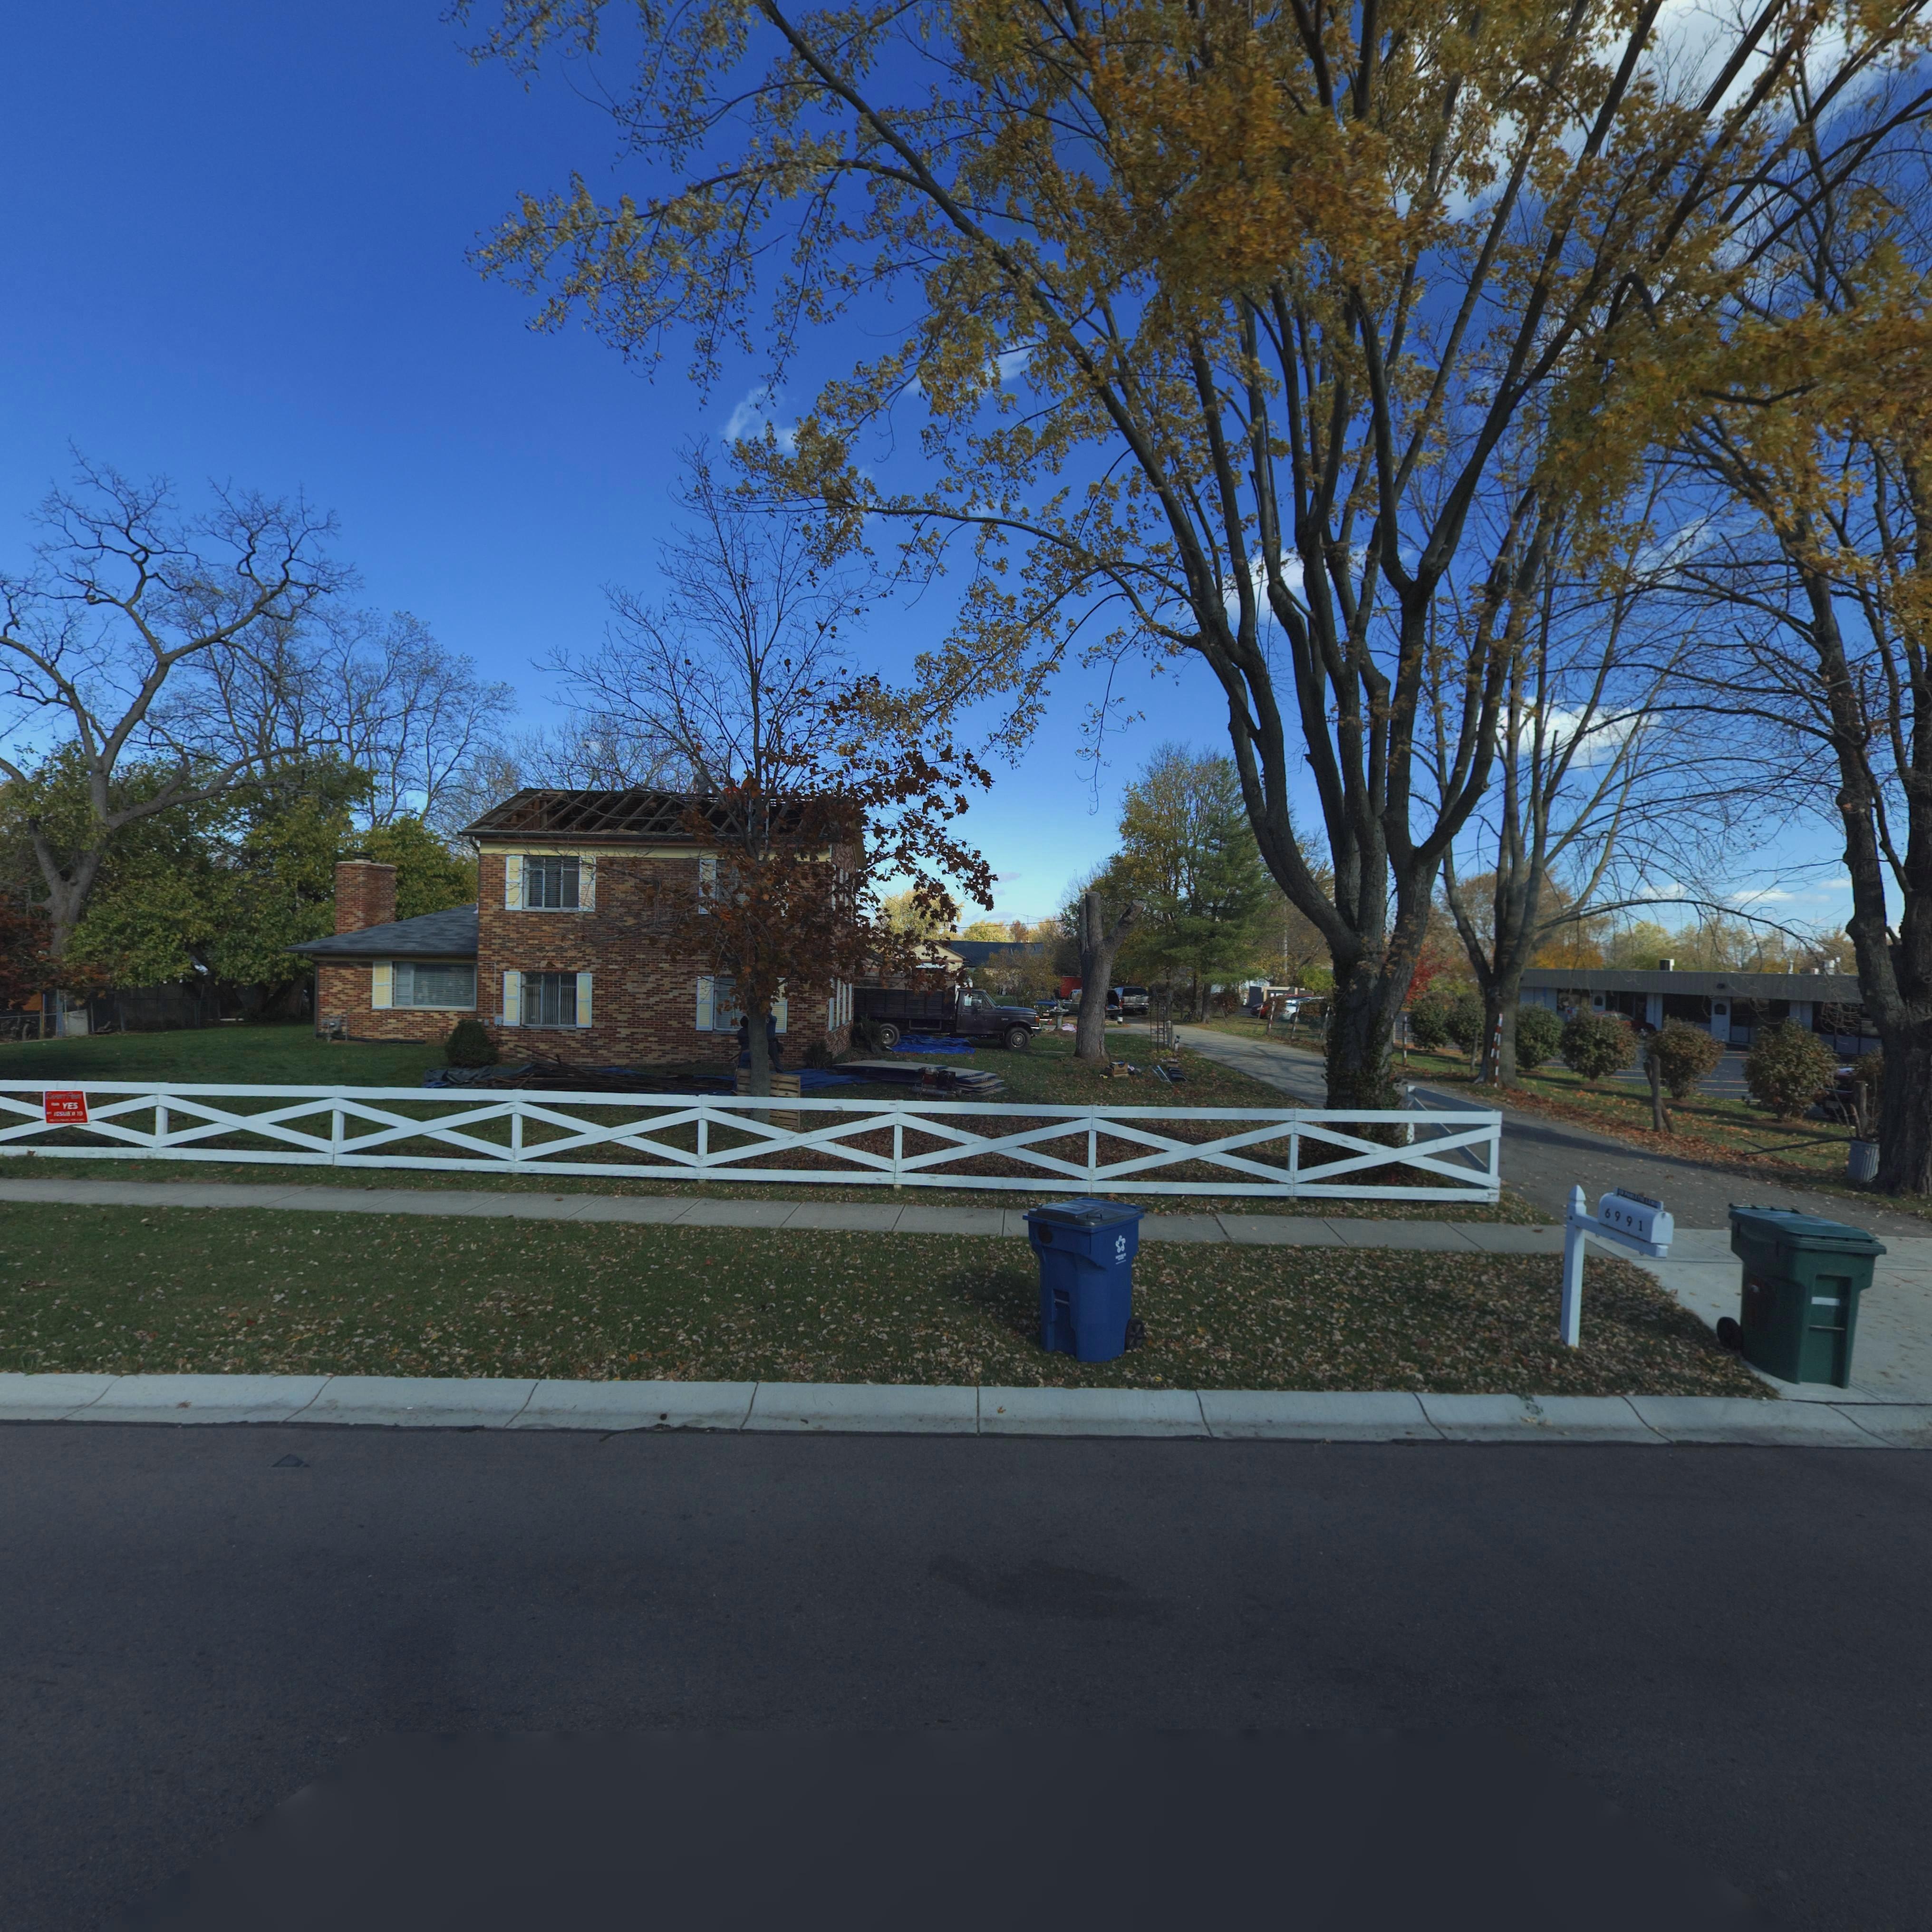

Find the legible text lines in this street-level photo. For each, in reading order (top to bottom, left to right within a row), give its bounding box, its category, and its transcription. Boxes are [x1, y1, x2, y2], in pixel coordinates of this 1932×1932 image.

[1604, 1206, 1644, 1233] StreetNumber: 6991